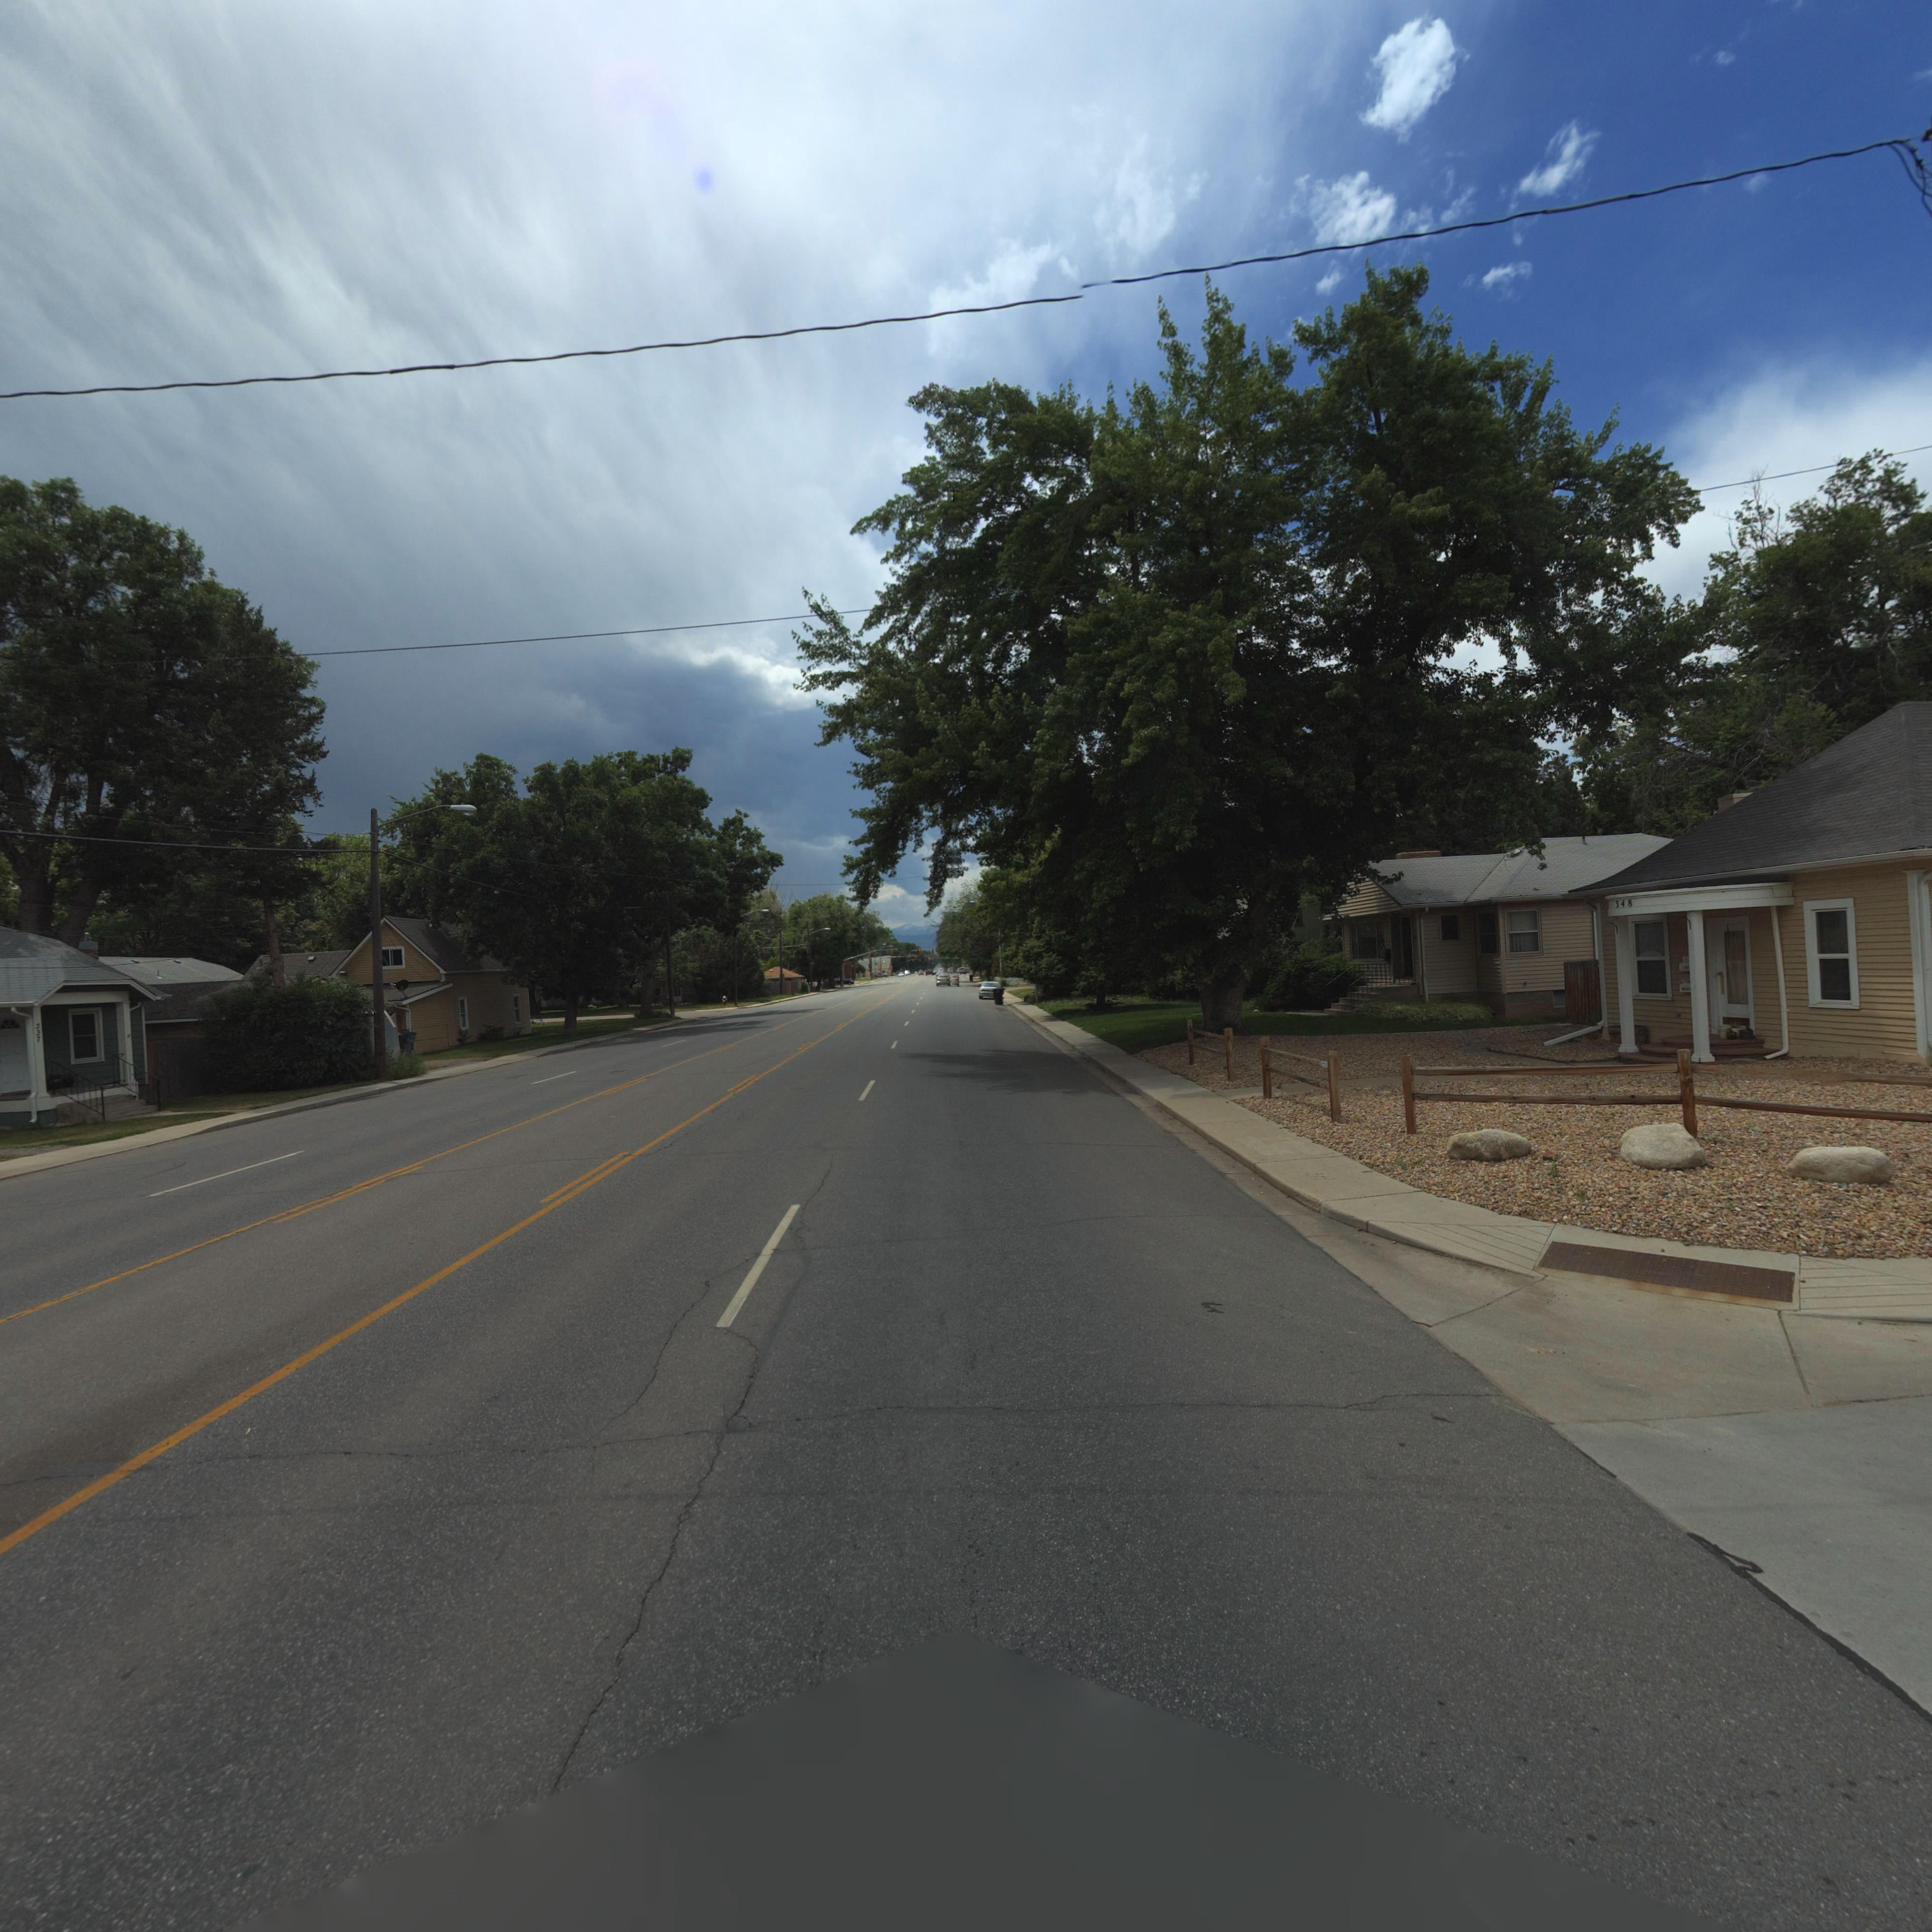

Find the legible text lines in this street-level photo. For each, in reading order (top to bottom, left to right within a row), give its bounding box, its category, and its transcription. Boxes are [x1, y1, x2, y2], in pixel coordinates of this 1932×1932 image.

[1615, 898, 1633, 908] StreetNumber: 348
[35, 1023, 41, 1042] StreetNumber: 337